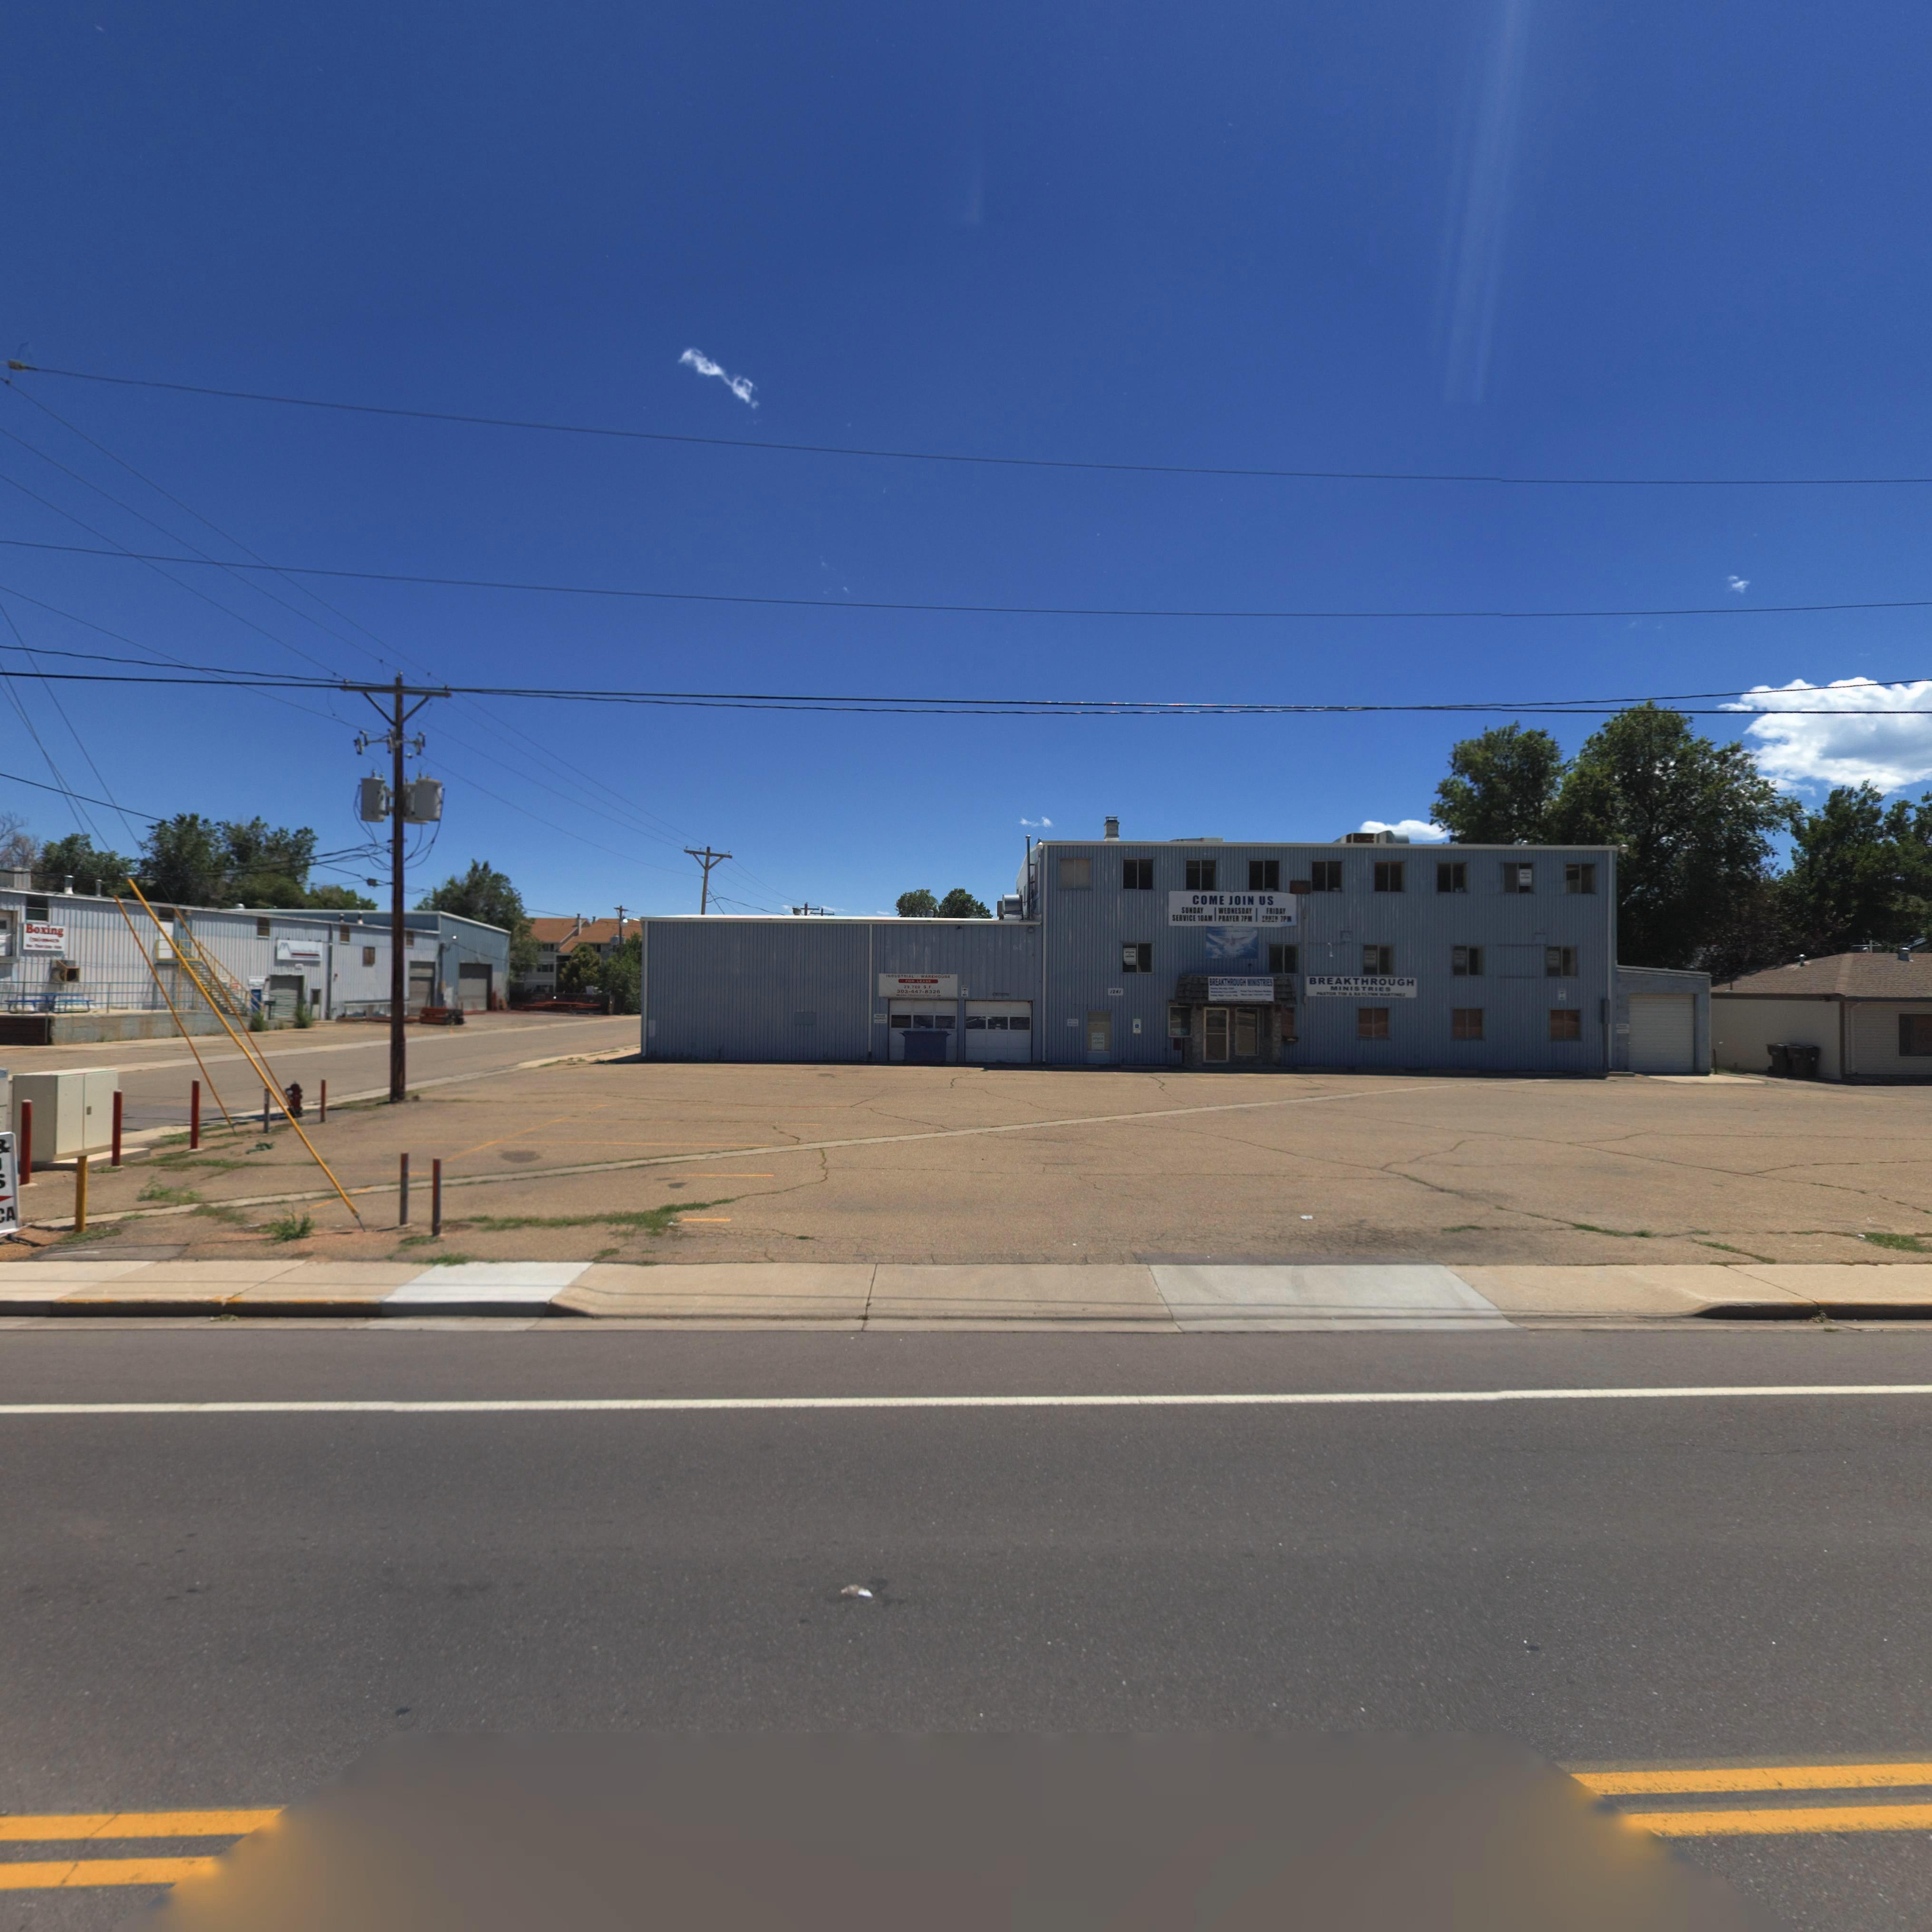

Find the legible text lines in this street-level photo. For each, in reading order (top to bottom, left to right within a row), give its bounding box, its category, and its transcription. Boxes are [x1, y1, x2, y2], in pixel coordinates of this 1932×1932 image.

[277, 941, 290, 951] BusinessName: M
[1209, 977, 1273, 986] BusinessName: BREAKTHROUGH MINISTRIES
[1309, 977, 1414, 986] BusinessName: BREAKTHROUGH
[1109, 989, 1122, 994] StreetNumber: 124*
[1330, 985, 1391, 992] BusinessName: MINISTRIES